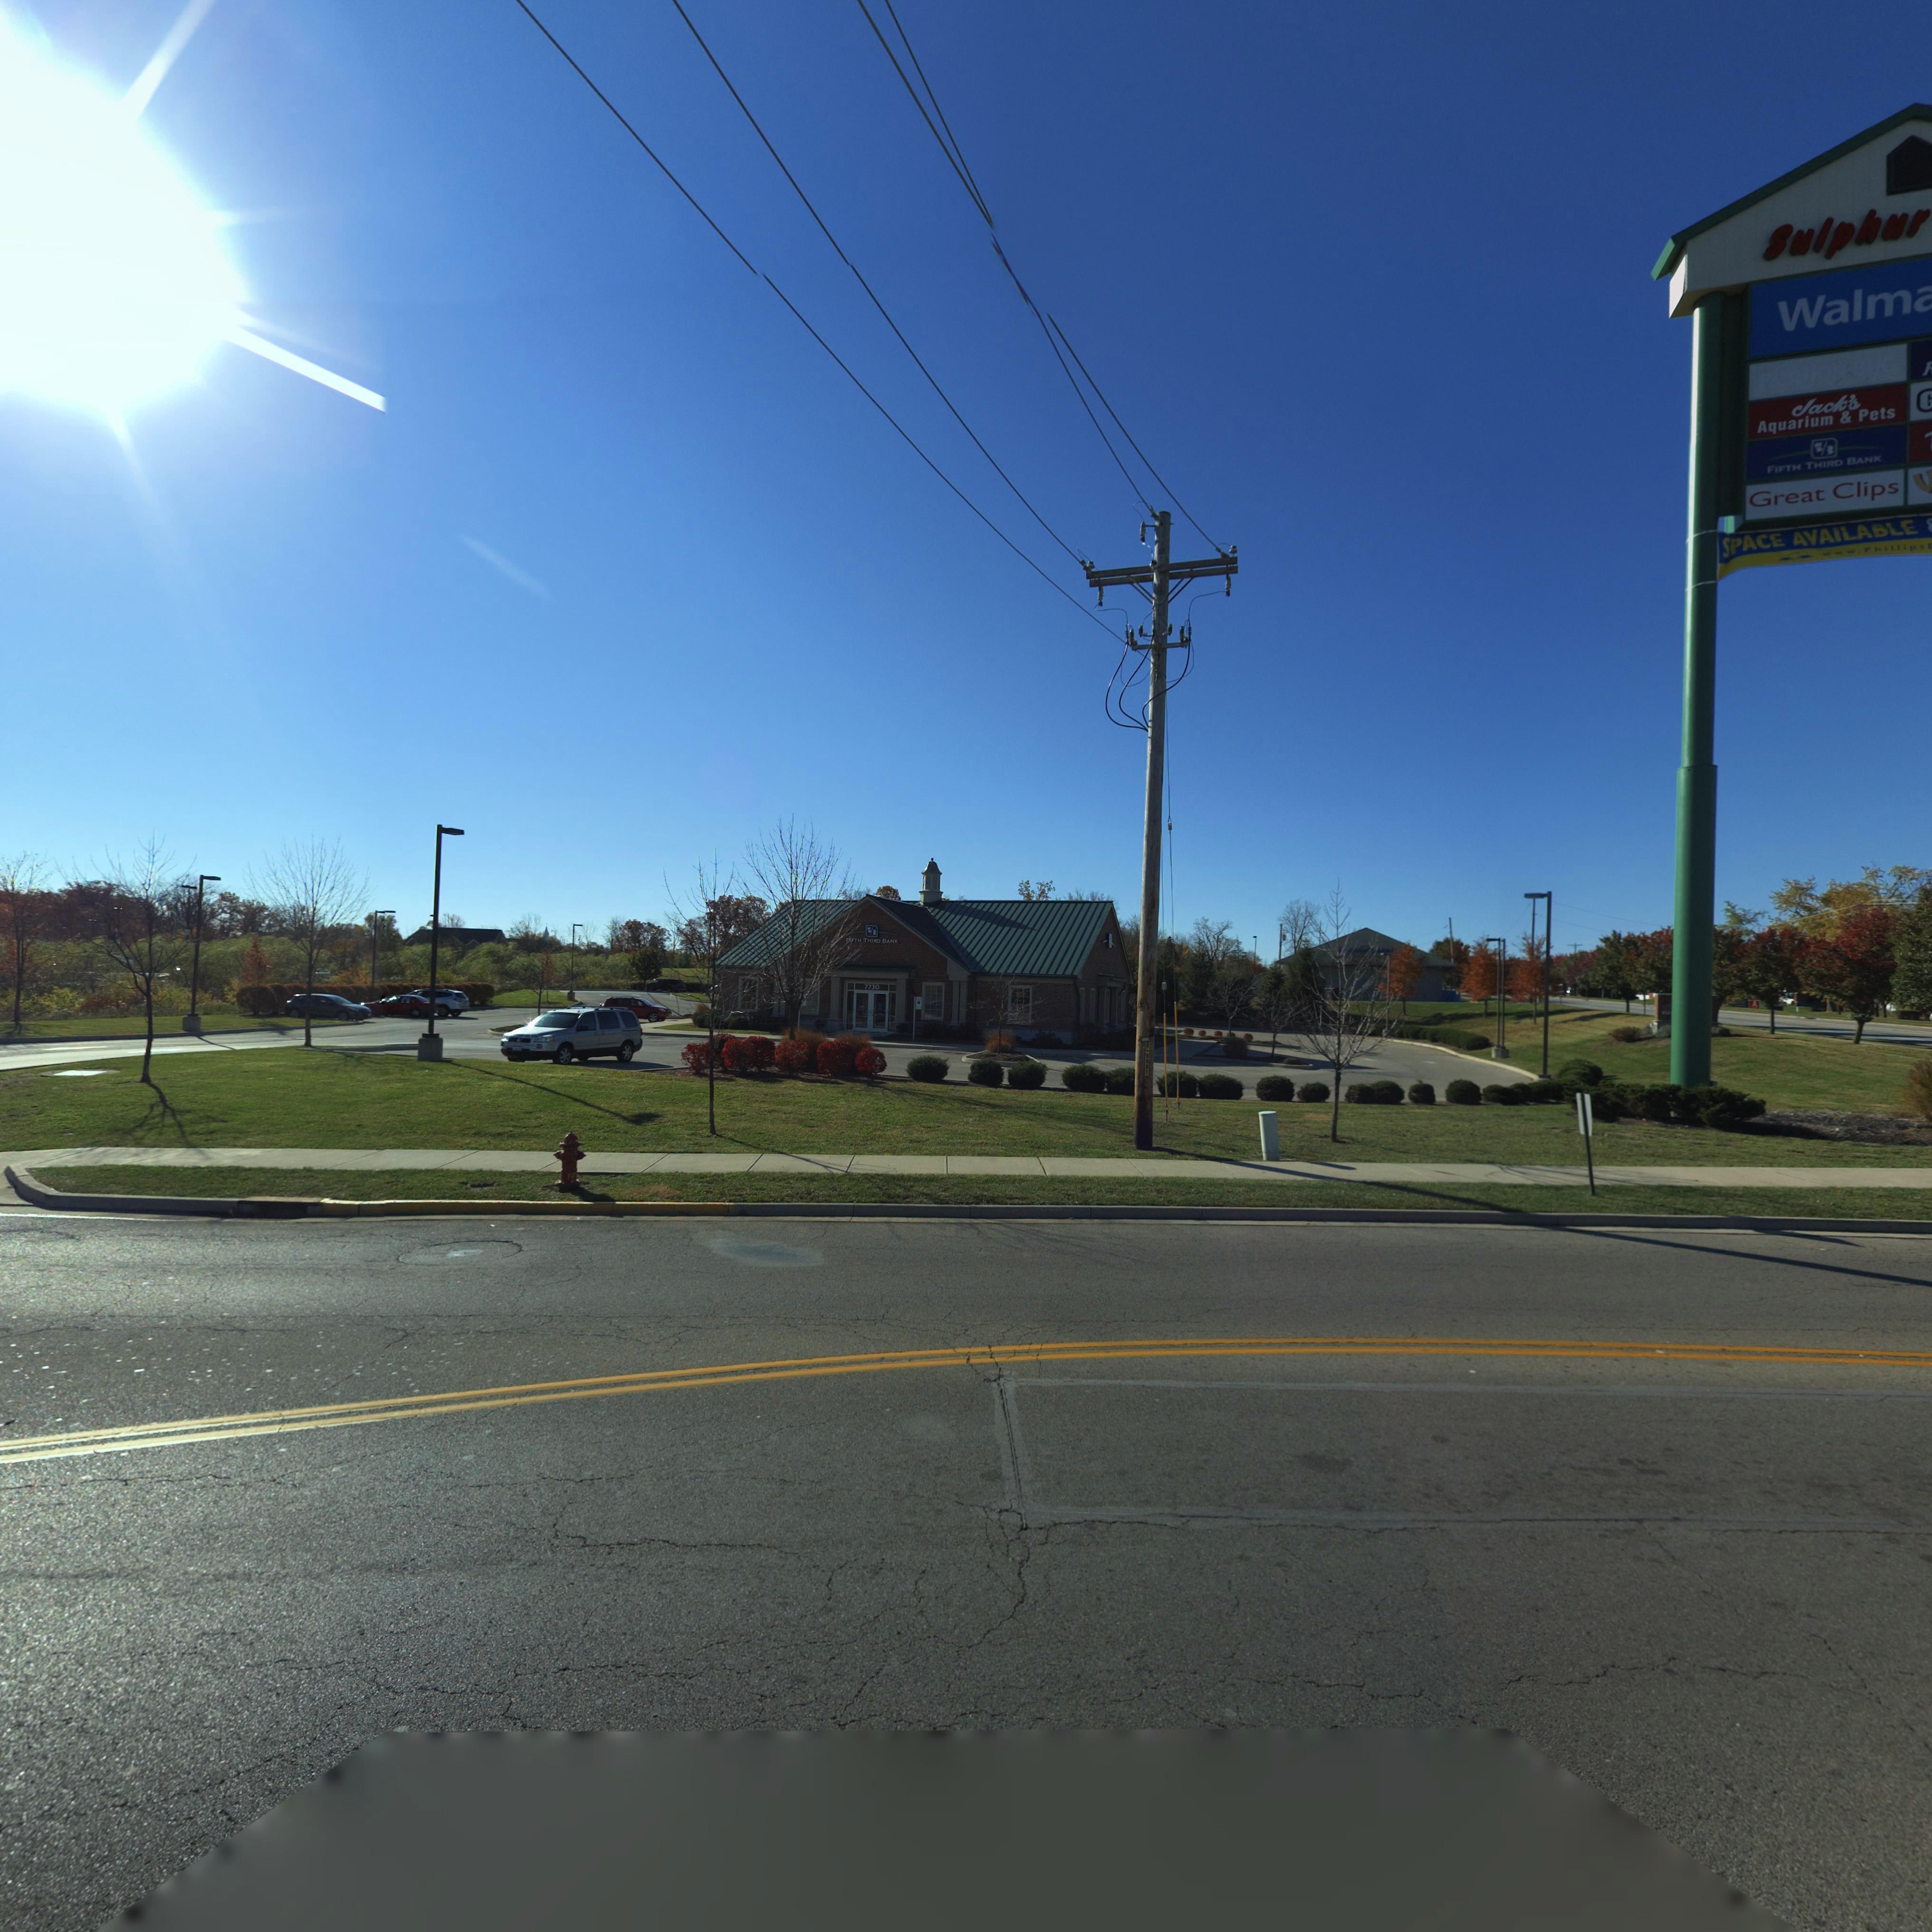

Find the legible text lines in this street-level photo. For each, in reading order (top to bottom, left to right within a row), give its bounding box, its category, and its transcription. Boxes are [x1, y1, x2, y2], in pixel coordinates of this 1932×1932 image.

[864, 984, 880, 990] StreetNumber: 7730